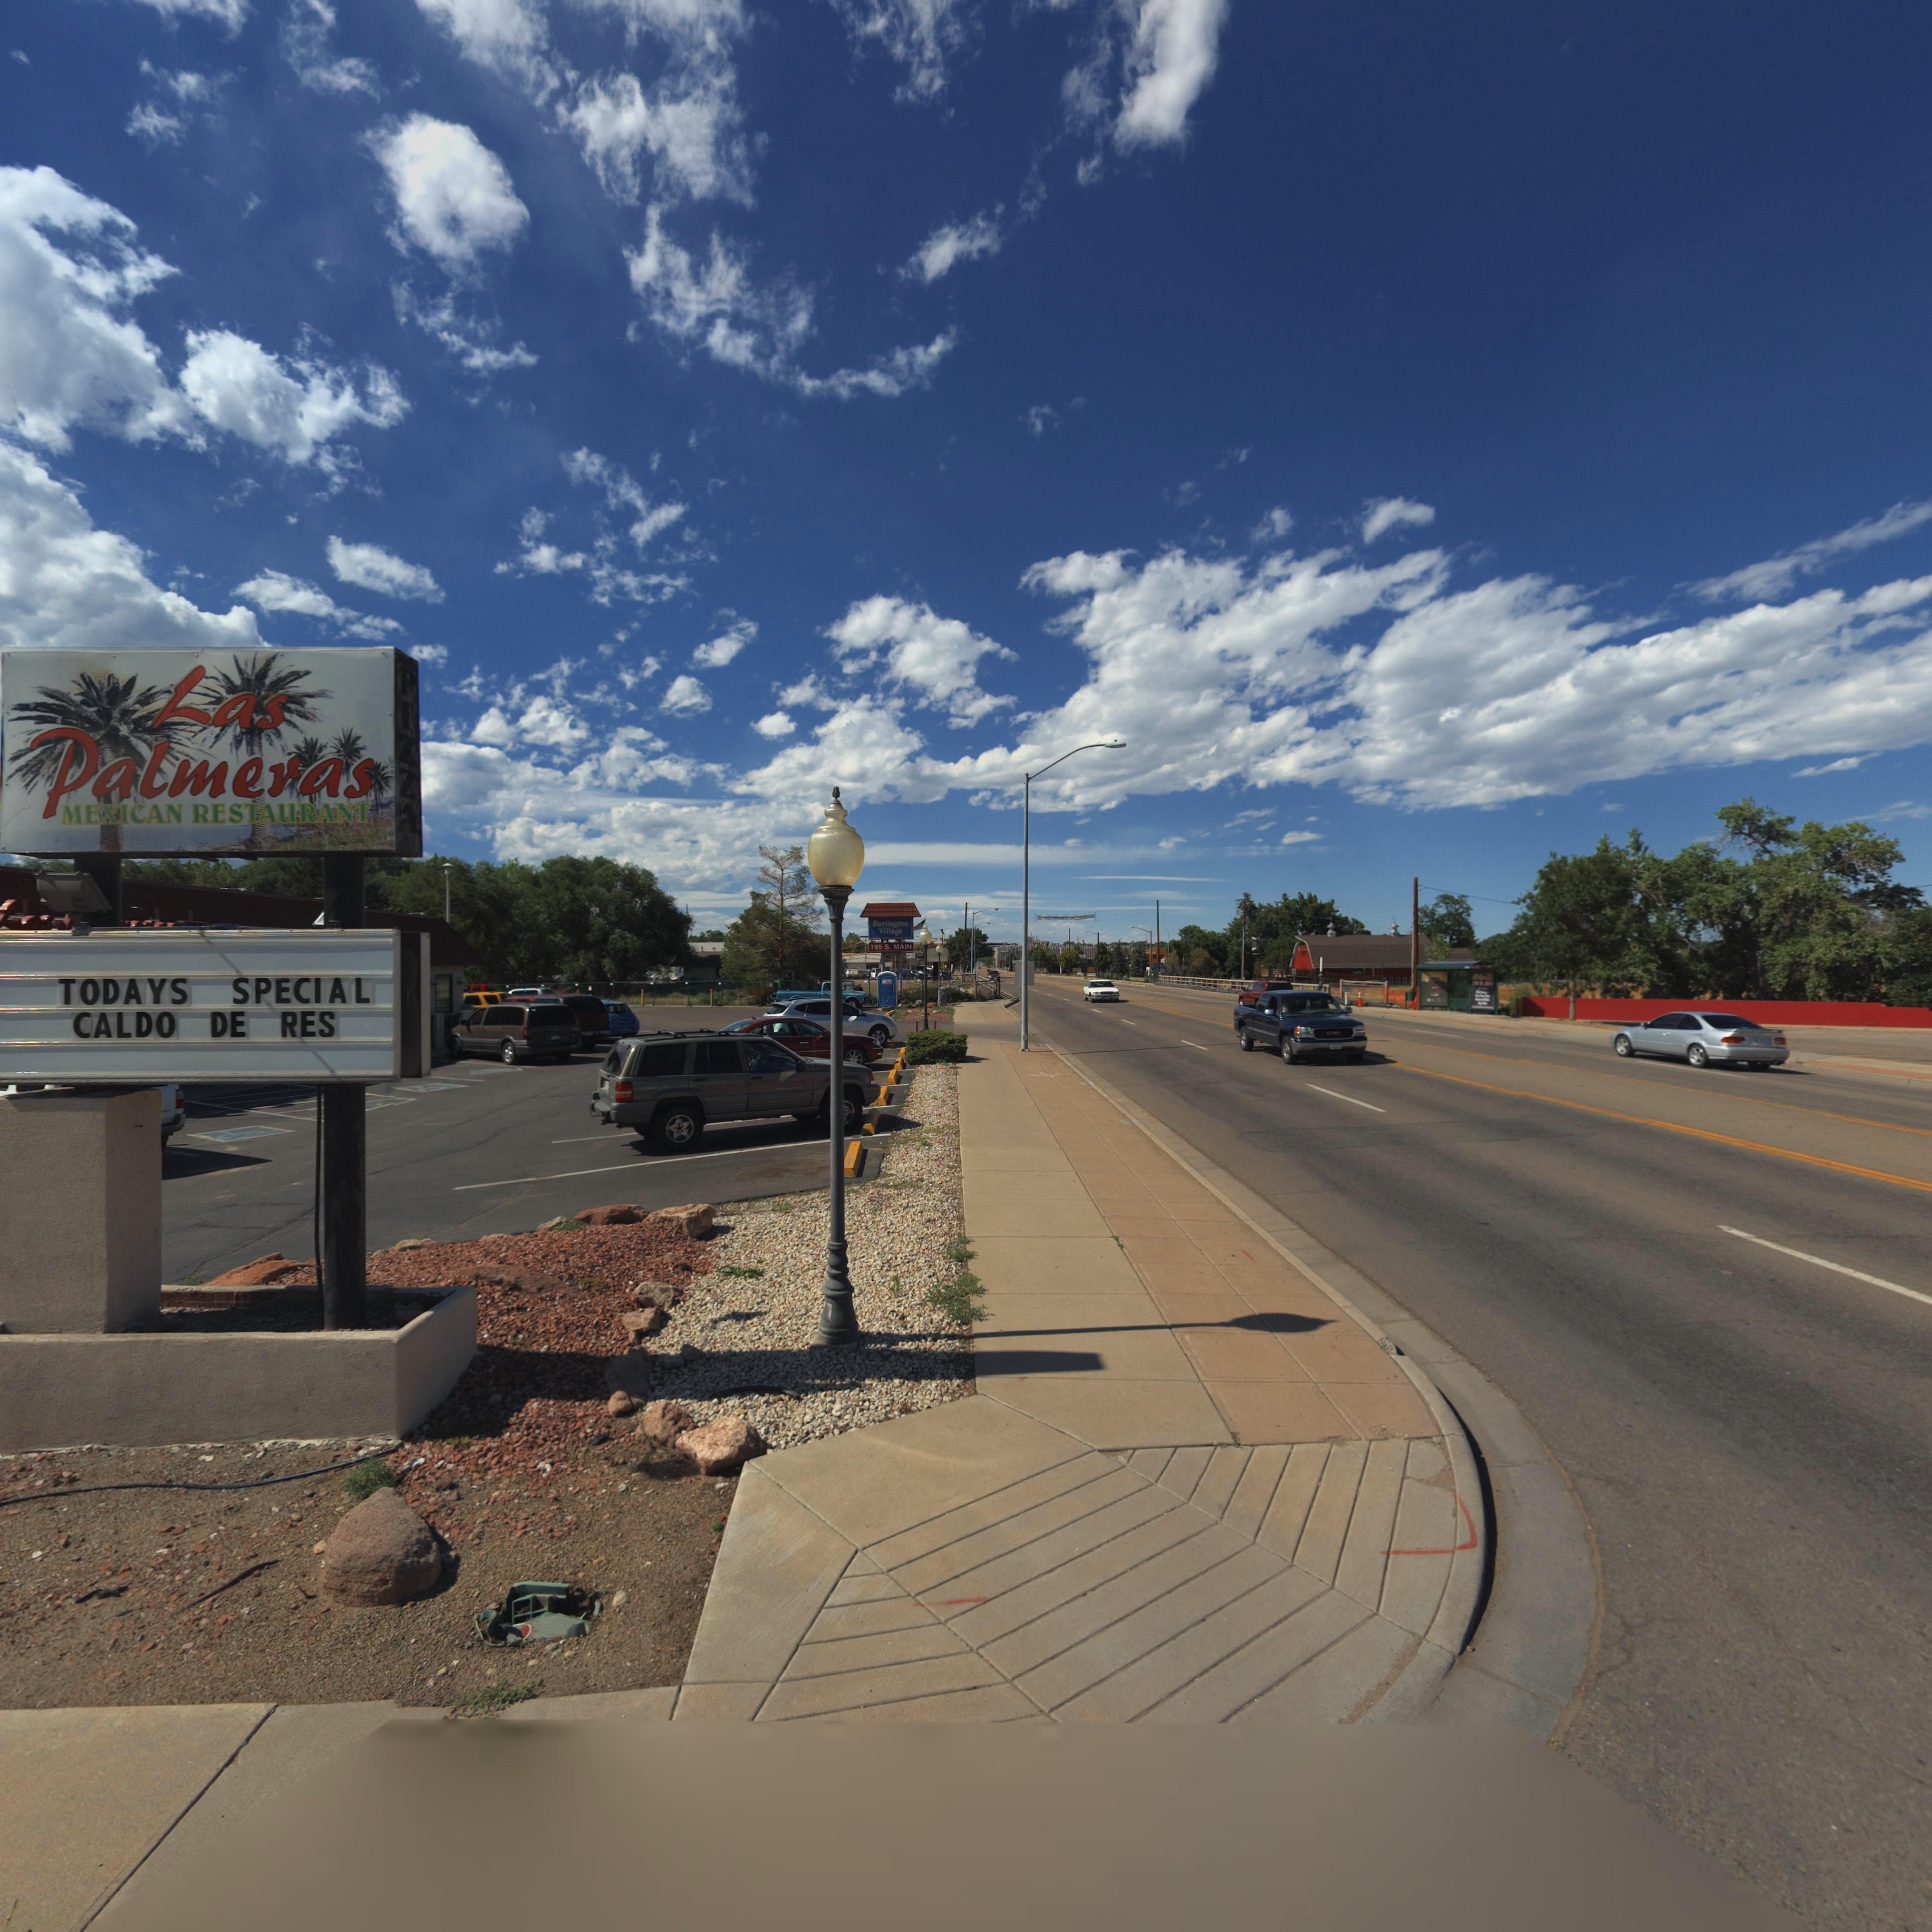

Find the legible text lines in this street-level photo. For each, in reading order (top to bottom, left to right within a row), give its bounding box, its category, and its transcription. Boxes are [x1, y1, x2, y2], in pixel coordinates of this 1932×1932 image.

[150, 663, 289, 731] BusinessName: Las
[27, 724, 376, 821] BusinessName: Palmeras
[869, 944, 883, 950] StreetNumber: 195
[884, 943, 912, 949] StreetName: S. MAIN